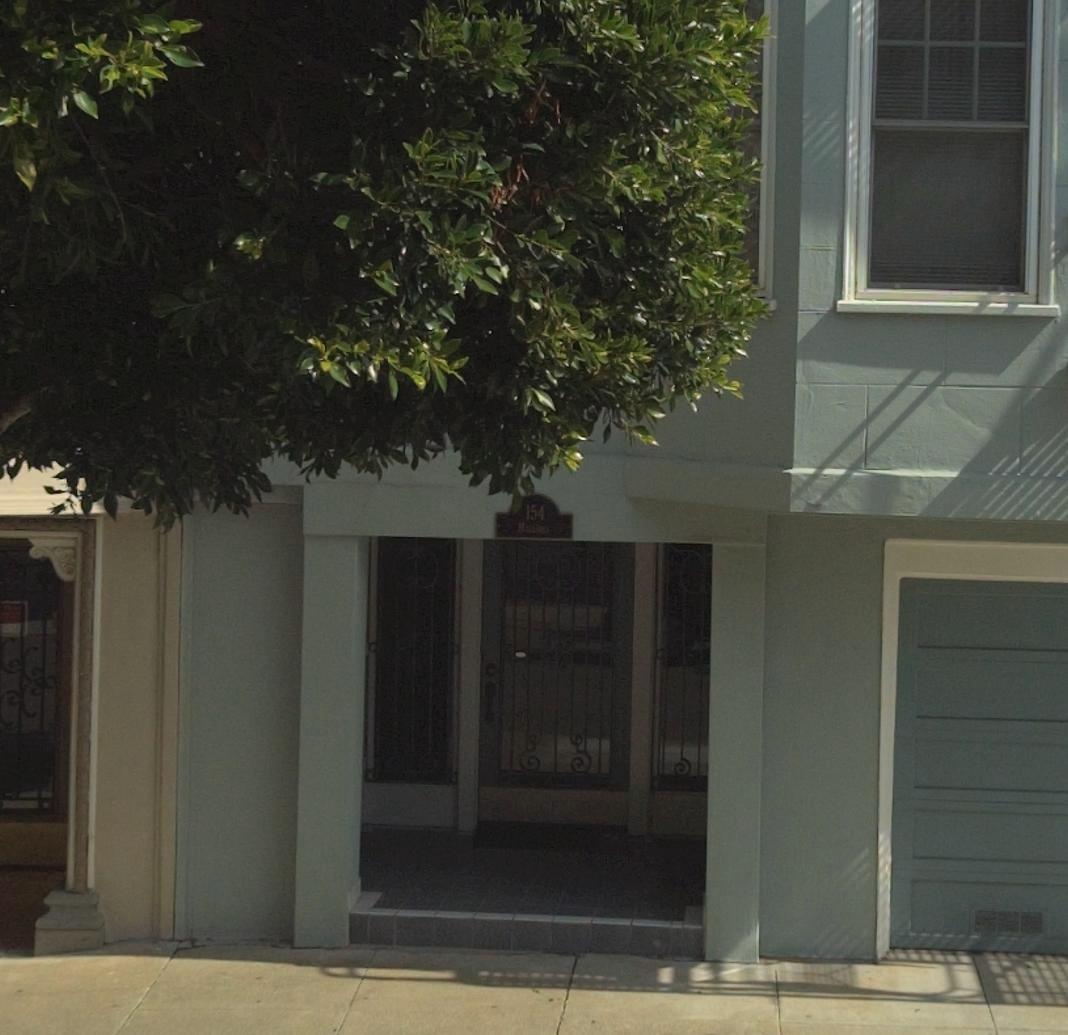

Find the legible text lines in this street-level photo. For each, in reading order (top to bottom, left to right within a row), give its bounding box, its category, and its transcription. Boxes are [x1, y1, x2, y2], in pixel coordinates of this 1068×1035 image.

[524, 502, 547, 522] StreetNumber: 154
[516, 519, 526, 534] StreetName: M